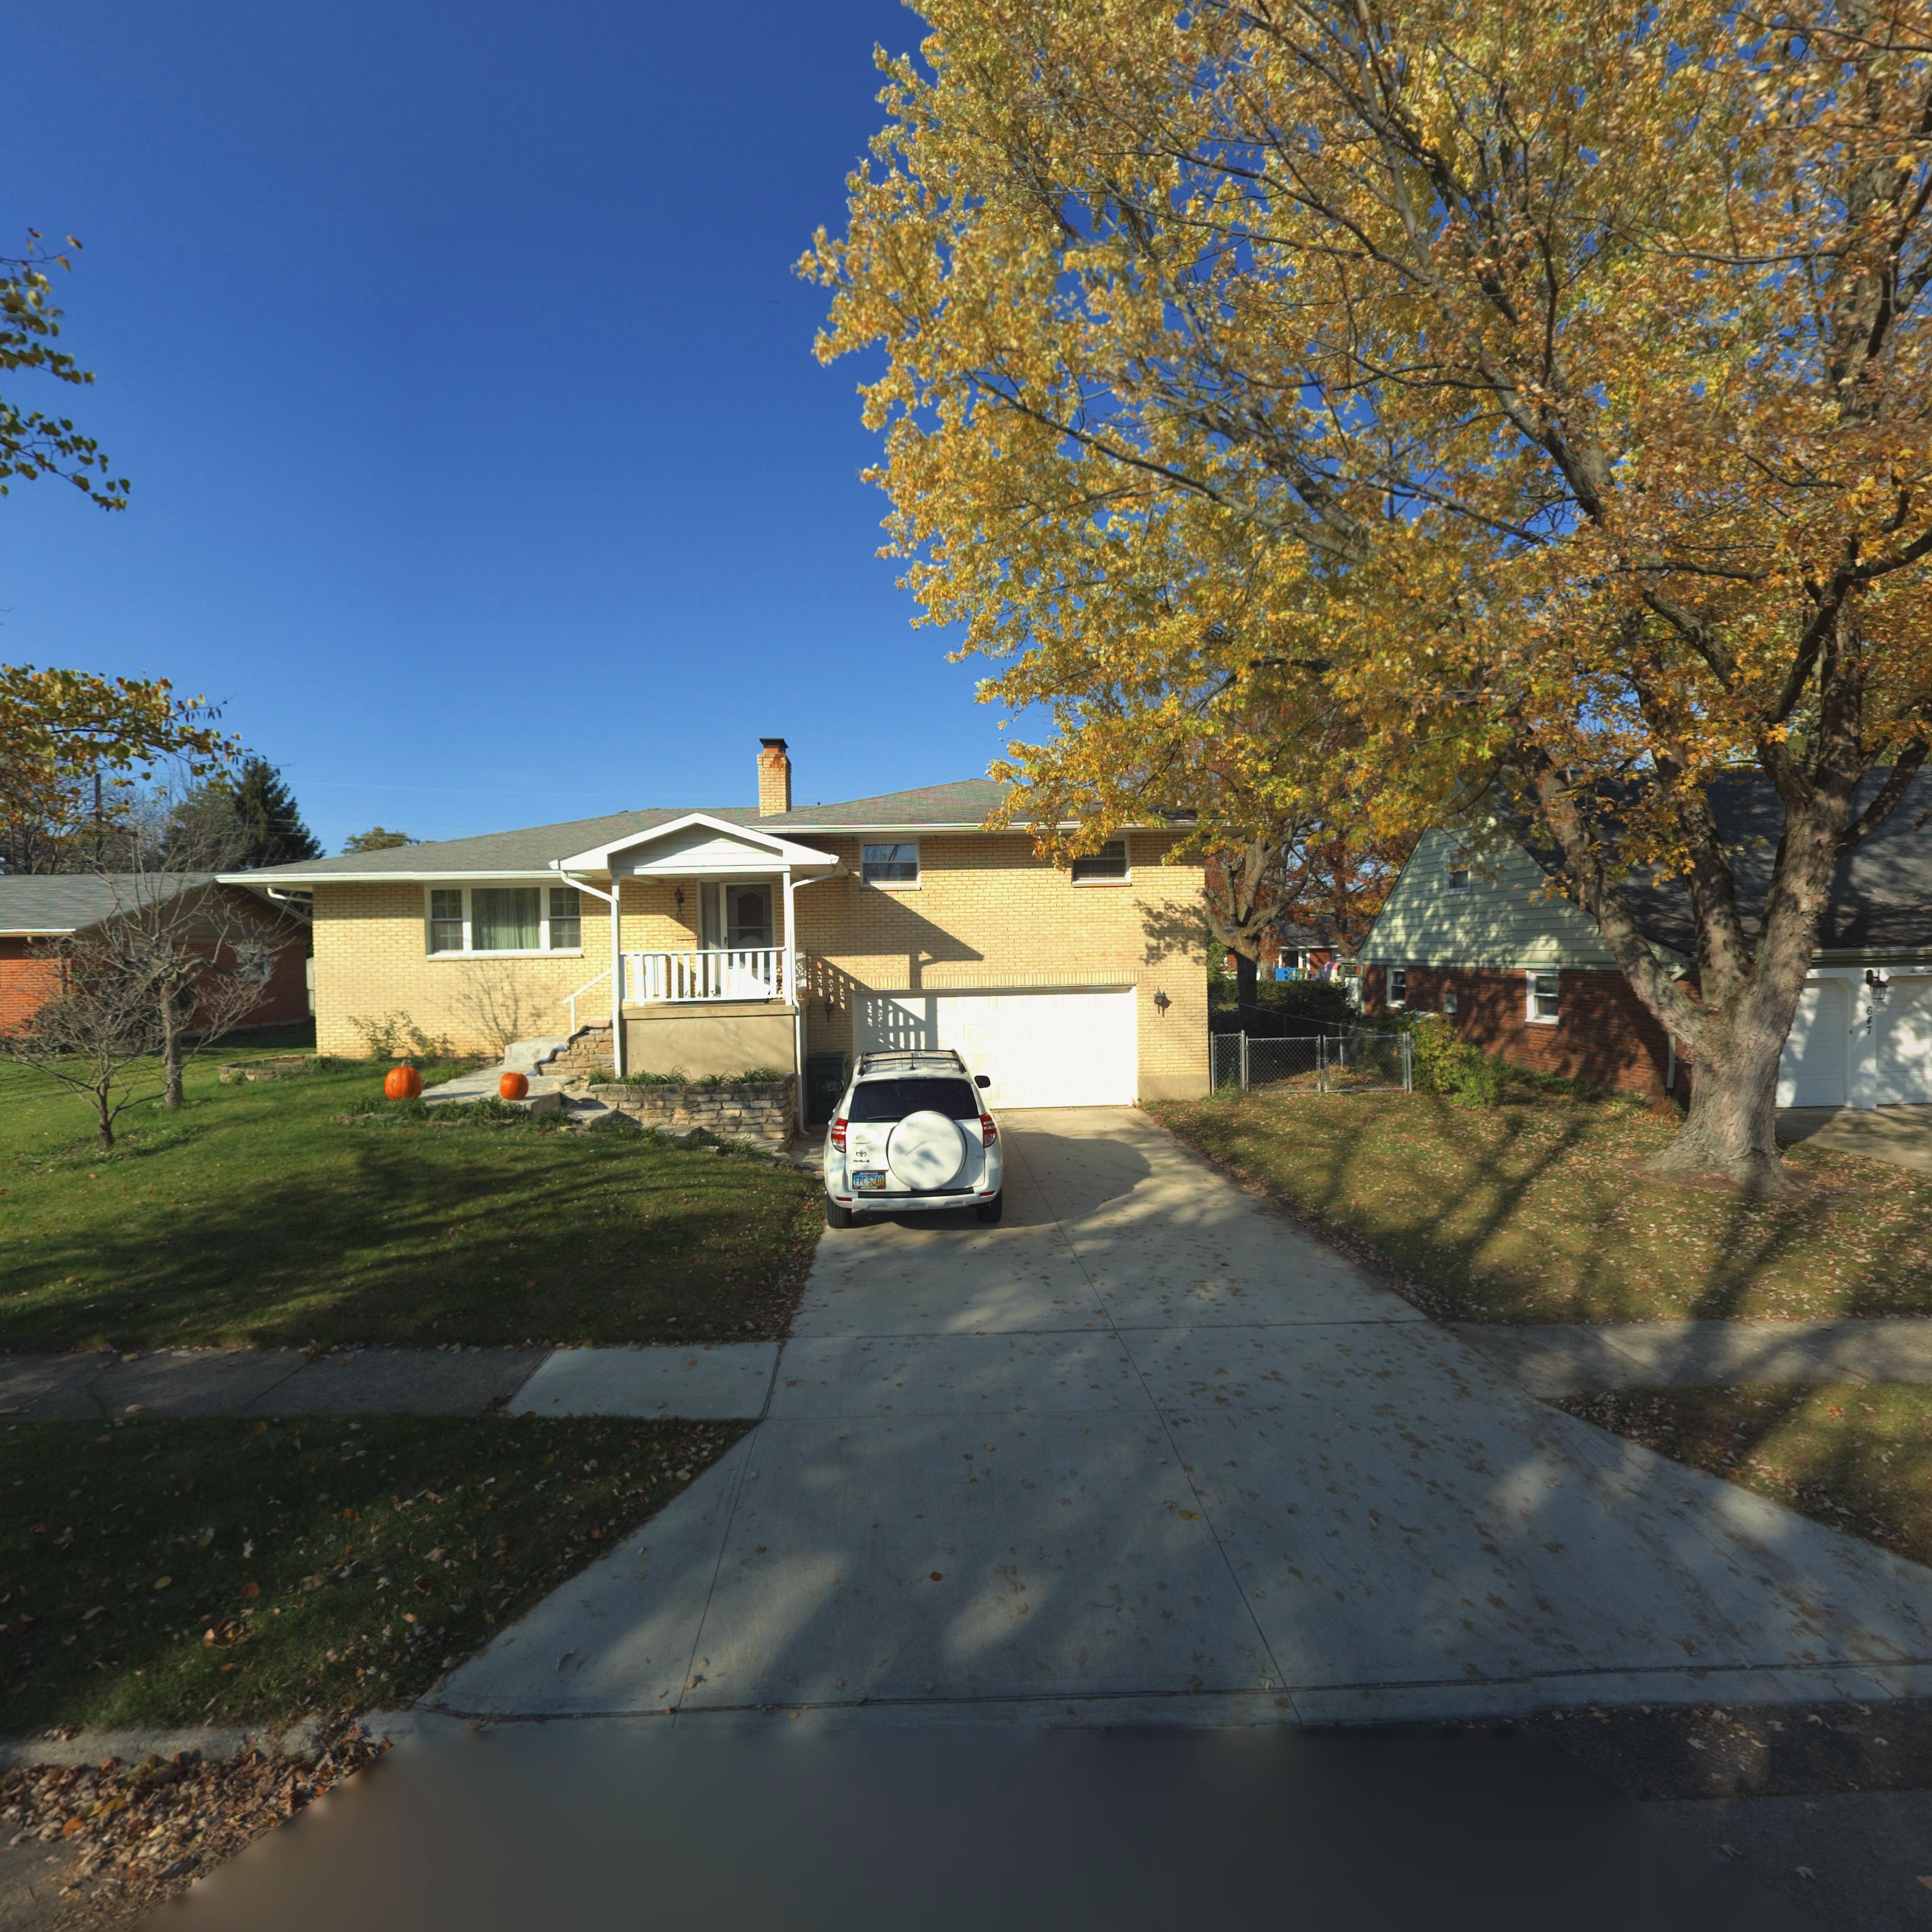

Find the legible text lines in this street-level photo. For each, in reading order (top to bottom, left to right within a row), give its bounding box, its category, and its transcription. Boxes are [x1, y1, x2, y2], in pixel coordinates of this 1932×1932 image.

[1865, 1005, 1873, 1035] StreetNumber: 647